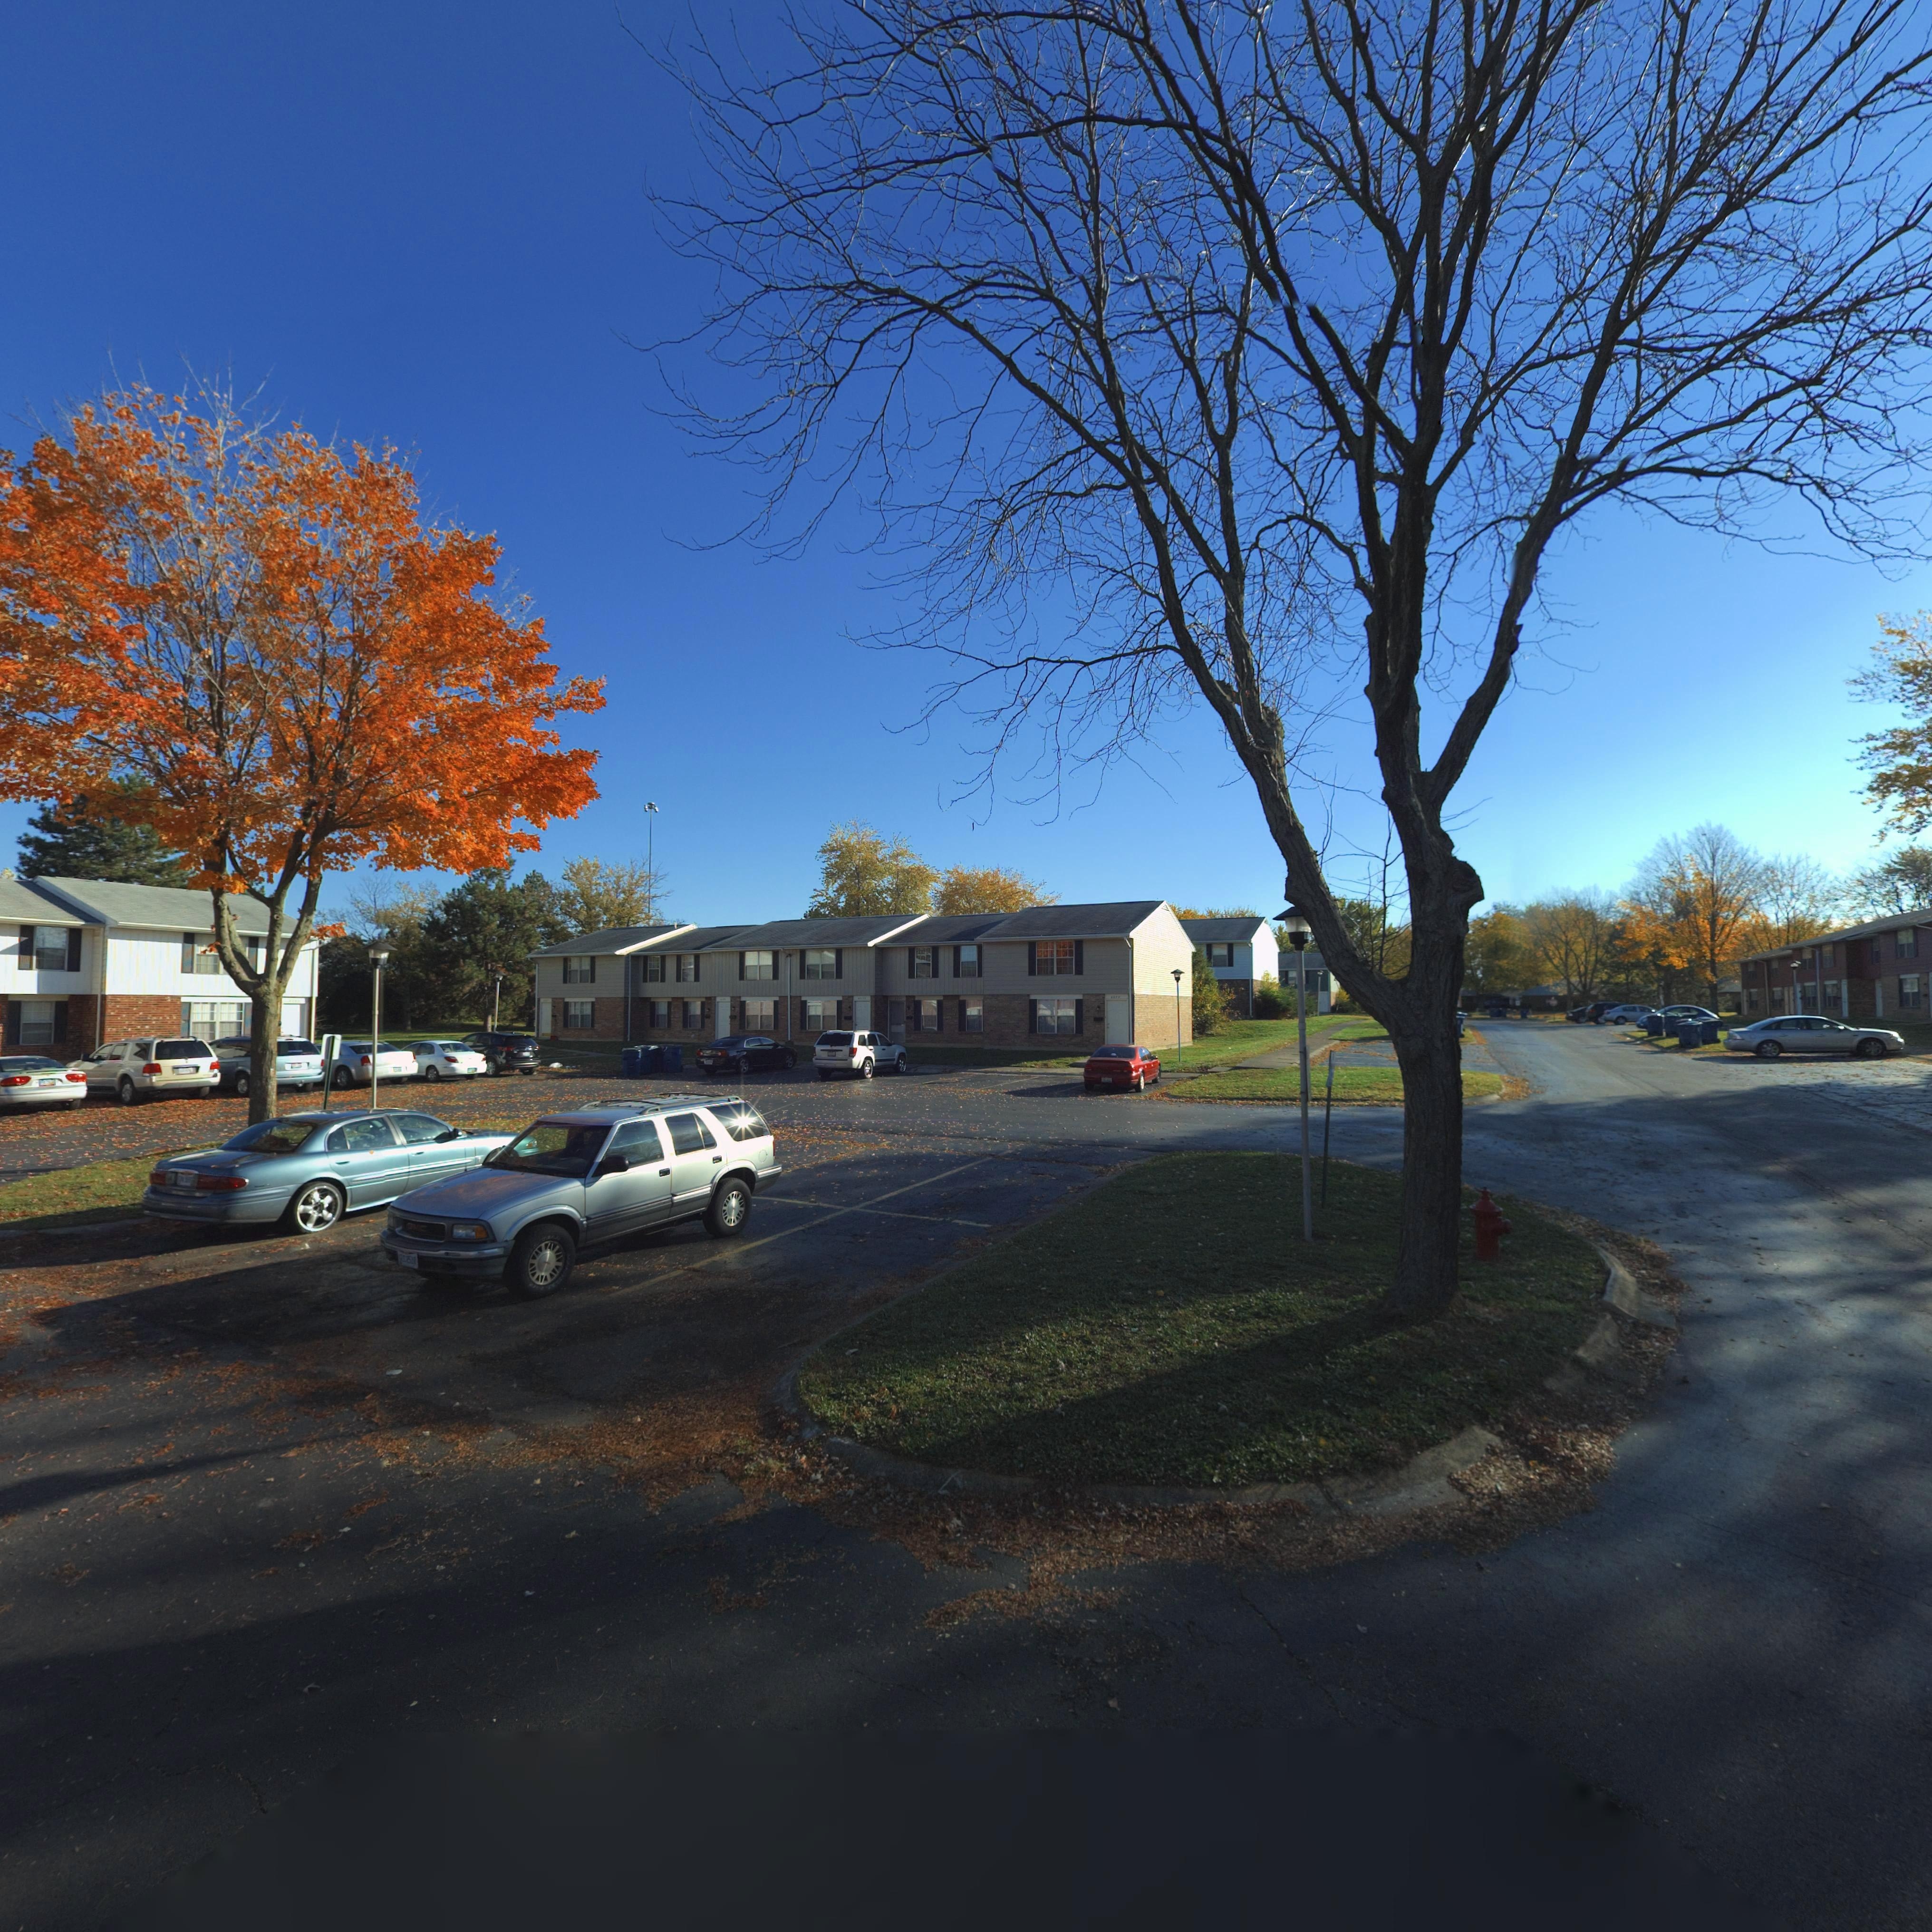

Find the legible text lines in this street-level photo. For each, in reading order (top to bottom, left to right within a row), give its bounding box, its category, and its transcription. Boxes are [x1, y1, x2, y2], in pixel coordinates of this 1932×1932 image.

[1115, 995, 1118, 998] StreetNumber: 7